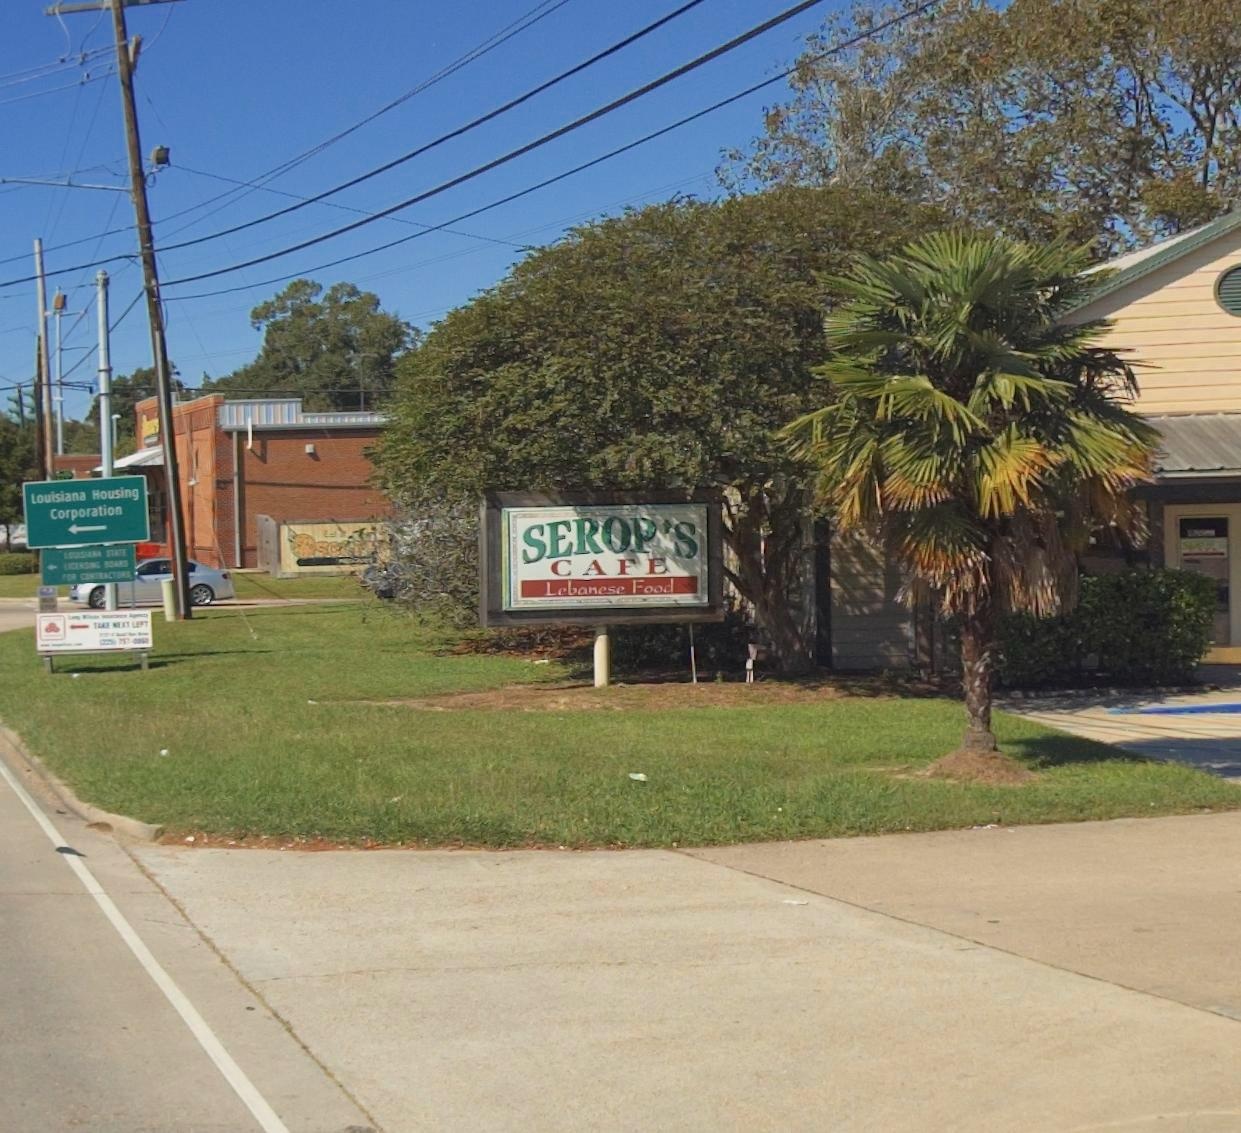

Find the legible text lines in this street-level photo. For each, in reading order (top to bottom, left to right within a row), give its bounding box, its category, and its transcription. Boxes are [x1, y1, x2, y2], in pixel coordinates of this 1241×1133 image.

[28, 485, 141, 506] None: Louisiana Housing
[48, 502, 124, 523] None: Corporation
[62, 547, 128, 561] None: LOUISIANA STATE
[290, 532, 341, 559] BusinessName: Osc
[519, 515, 699, 567] BusinessName: SEROP'S
[62, 558, 130, 572] None: LICENSING BOARD
[61, 570, 133, 583] None: FOR CONTRACTORS
[550, 557, 670, 578] BusinessName: CAFE
[545, 577, 676, 597] None: Lebanese Food